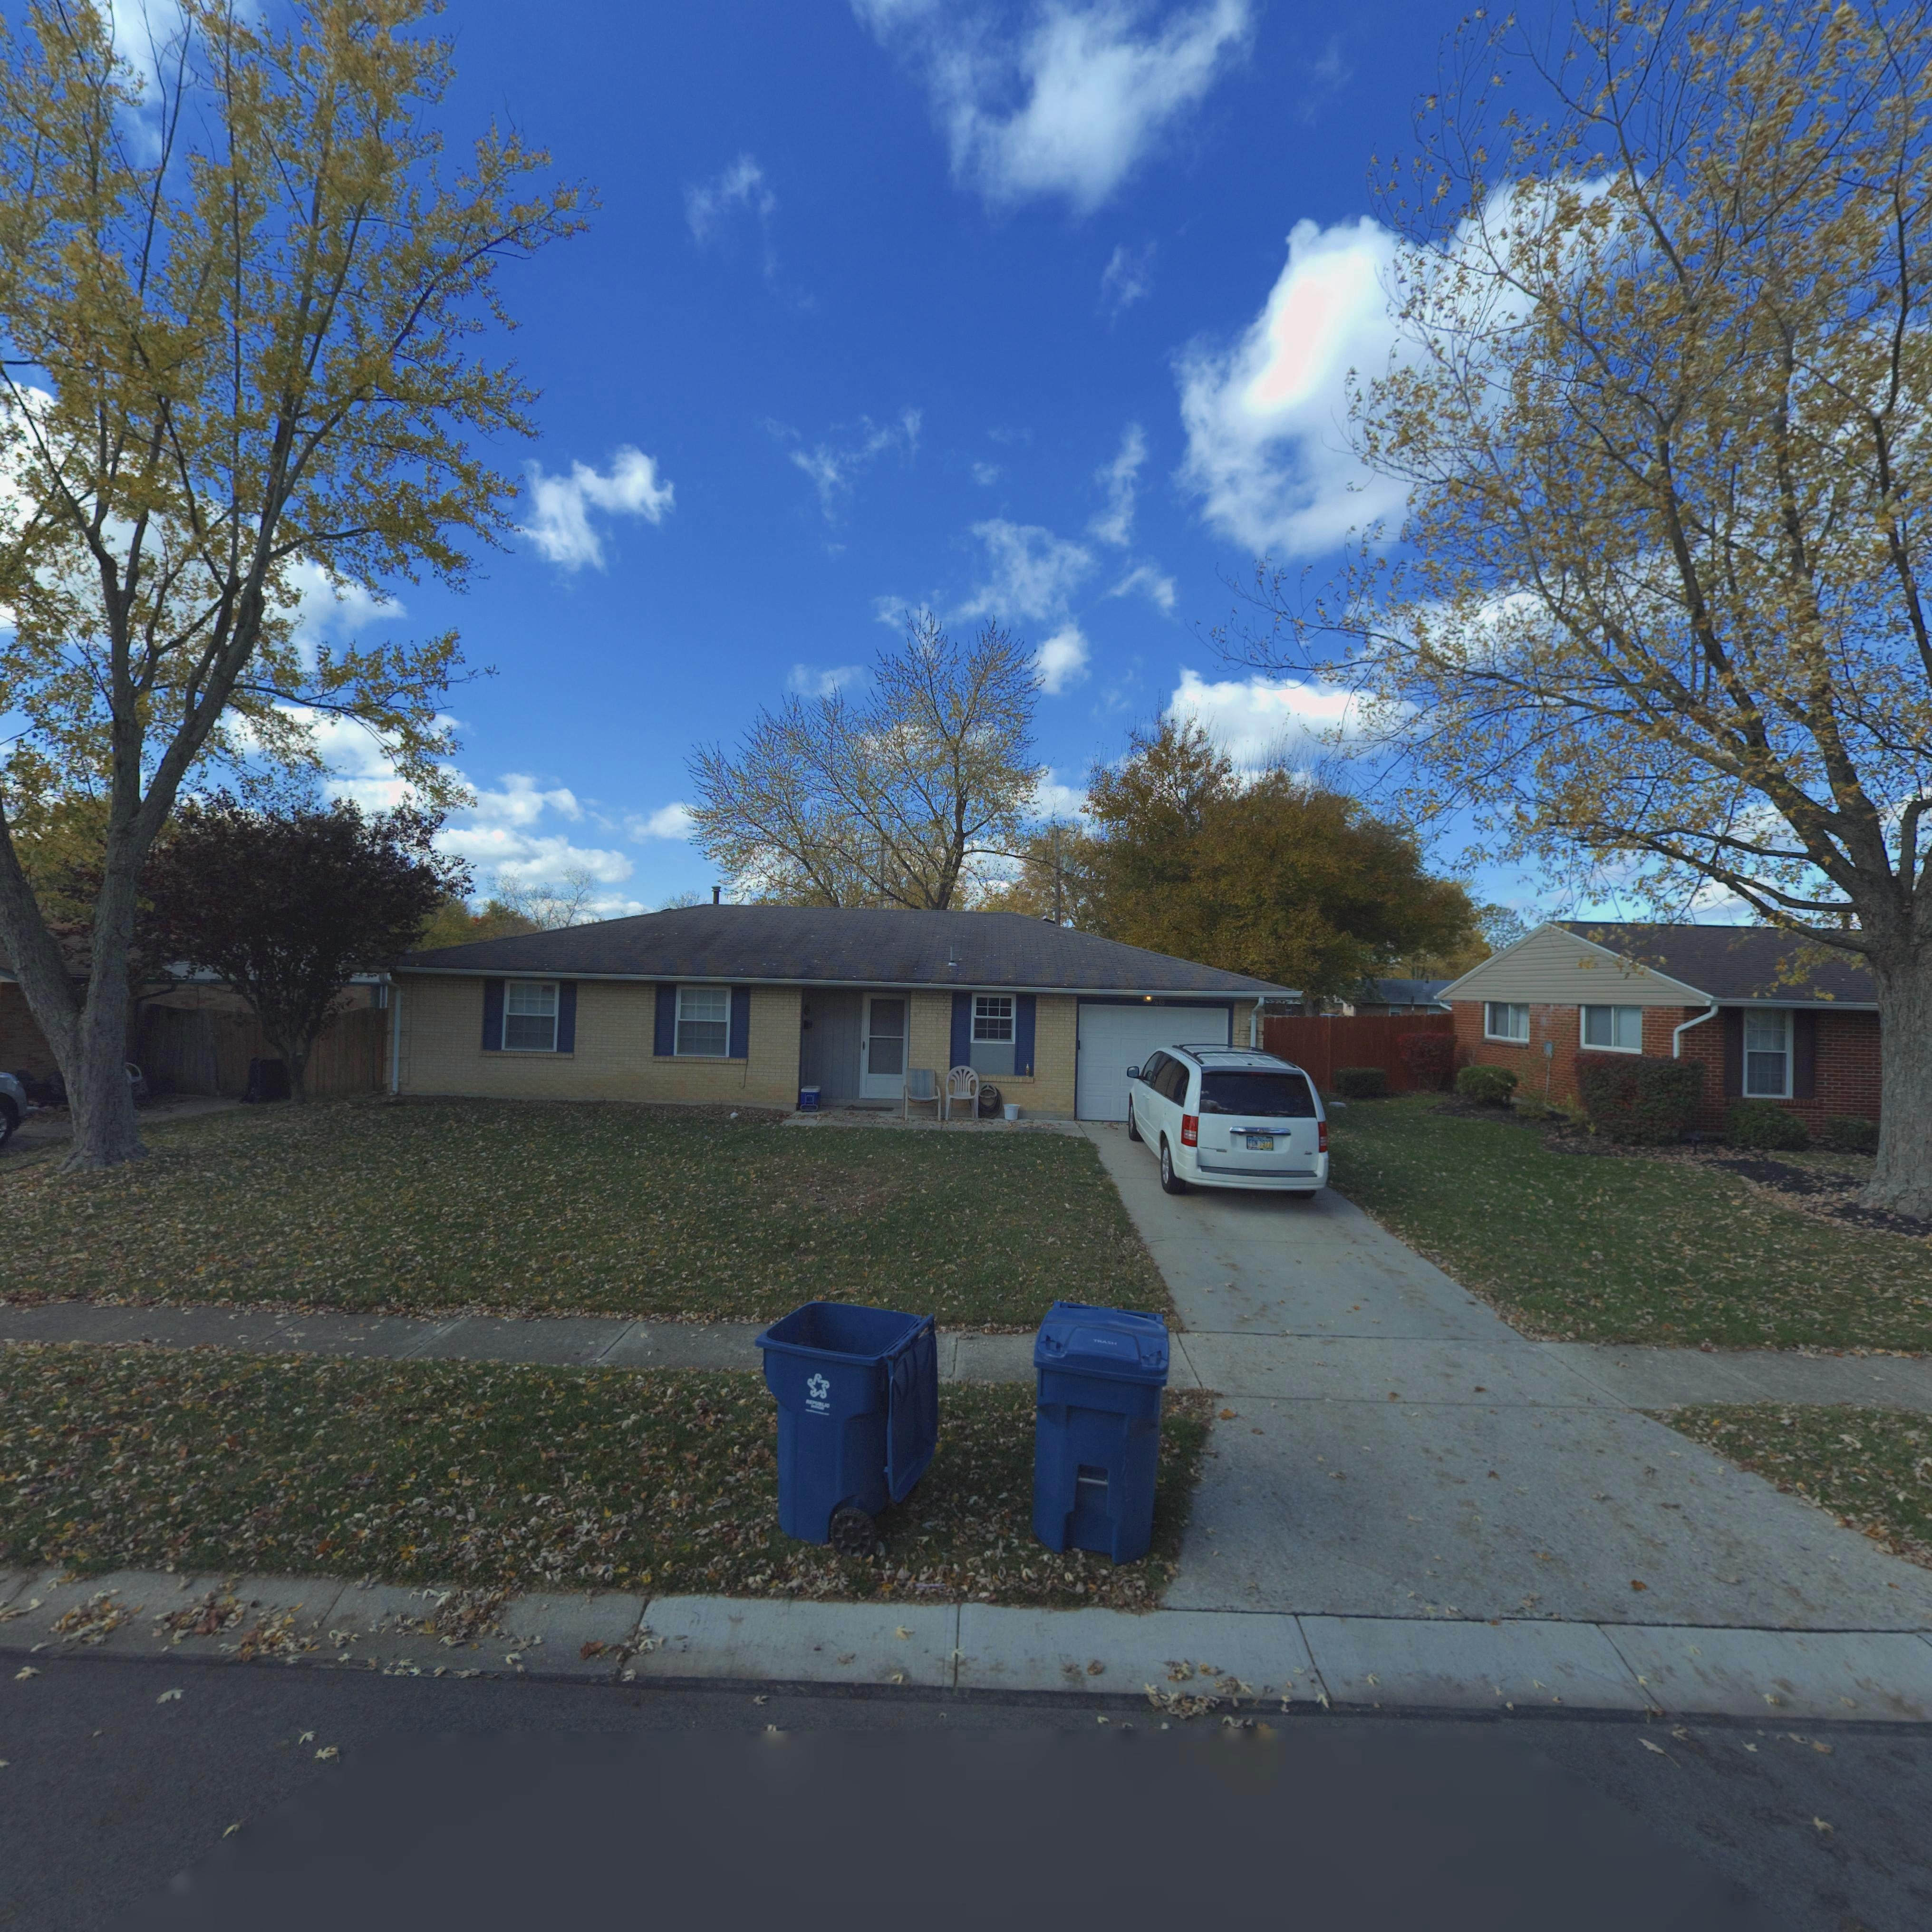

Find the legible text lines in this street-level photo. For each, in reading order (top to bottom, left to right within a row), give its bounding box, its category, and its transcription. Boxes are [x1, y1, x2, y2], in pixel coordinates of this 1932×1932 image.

[1150, 999, 1165, 1006] StreetNumber: 7618